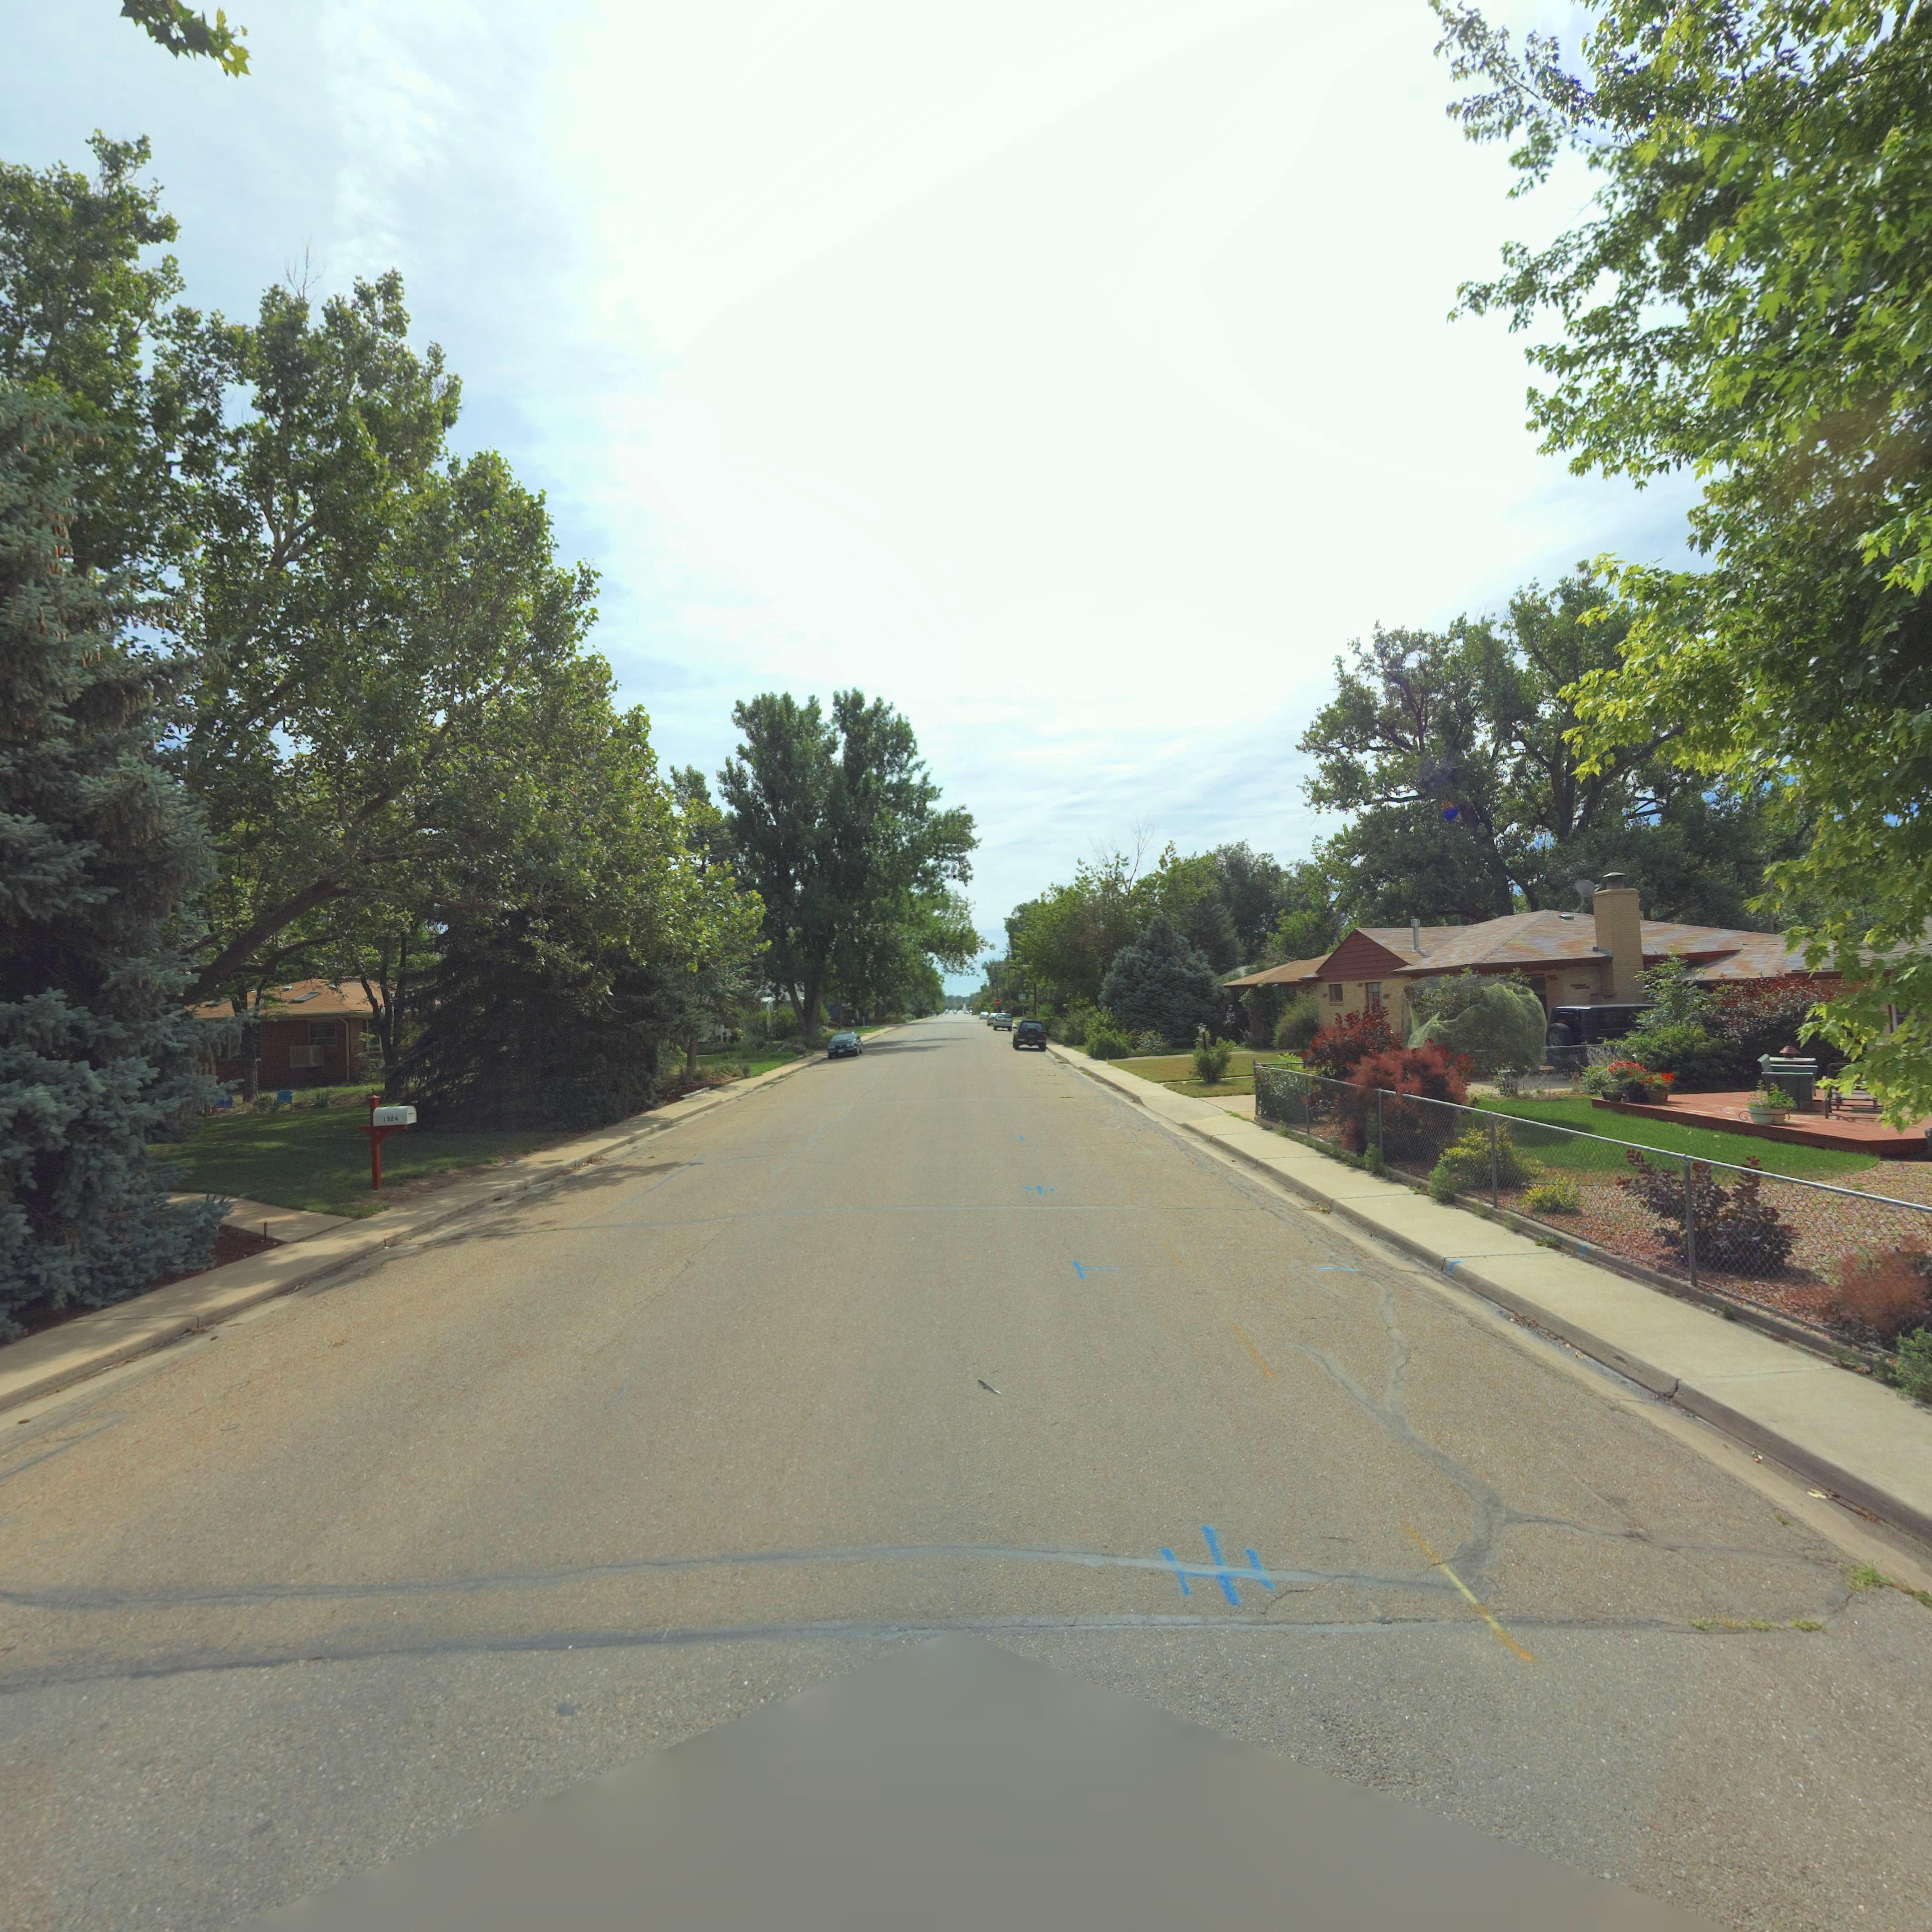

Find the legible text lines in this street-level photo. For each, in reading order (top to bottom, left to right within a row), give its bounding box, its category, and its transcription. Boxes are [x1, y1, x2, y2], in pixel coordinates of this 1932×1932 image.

[383, 1116, 397, 1121] StreetNumber: 1324